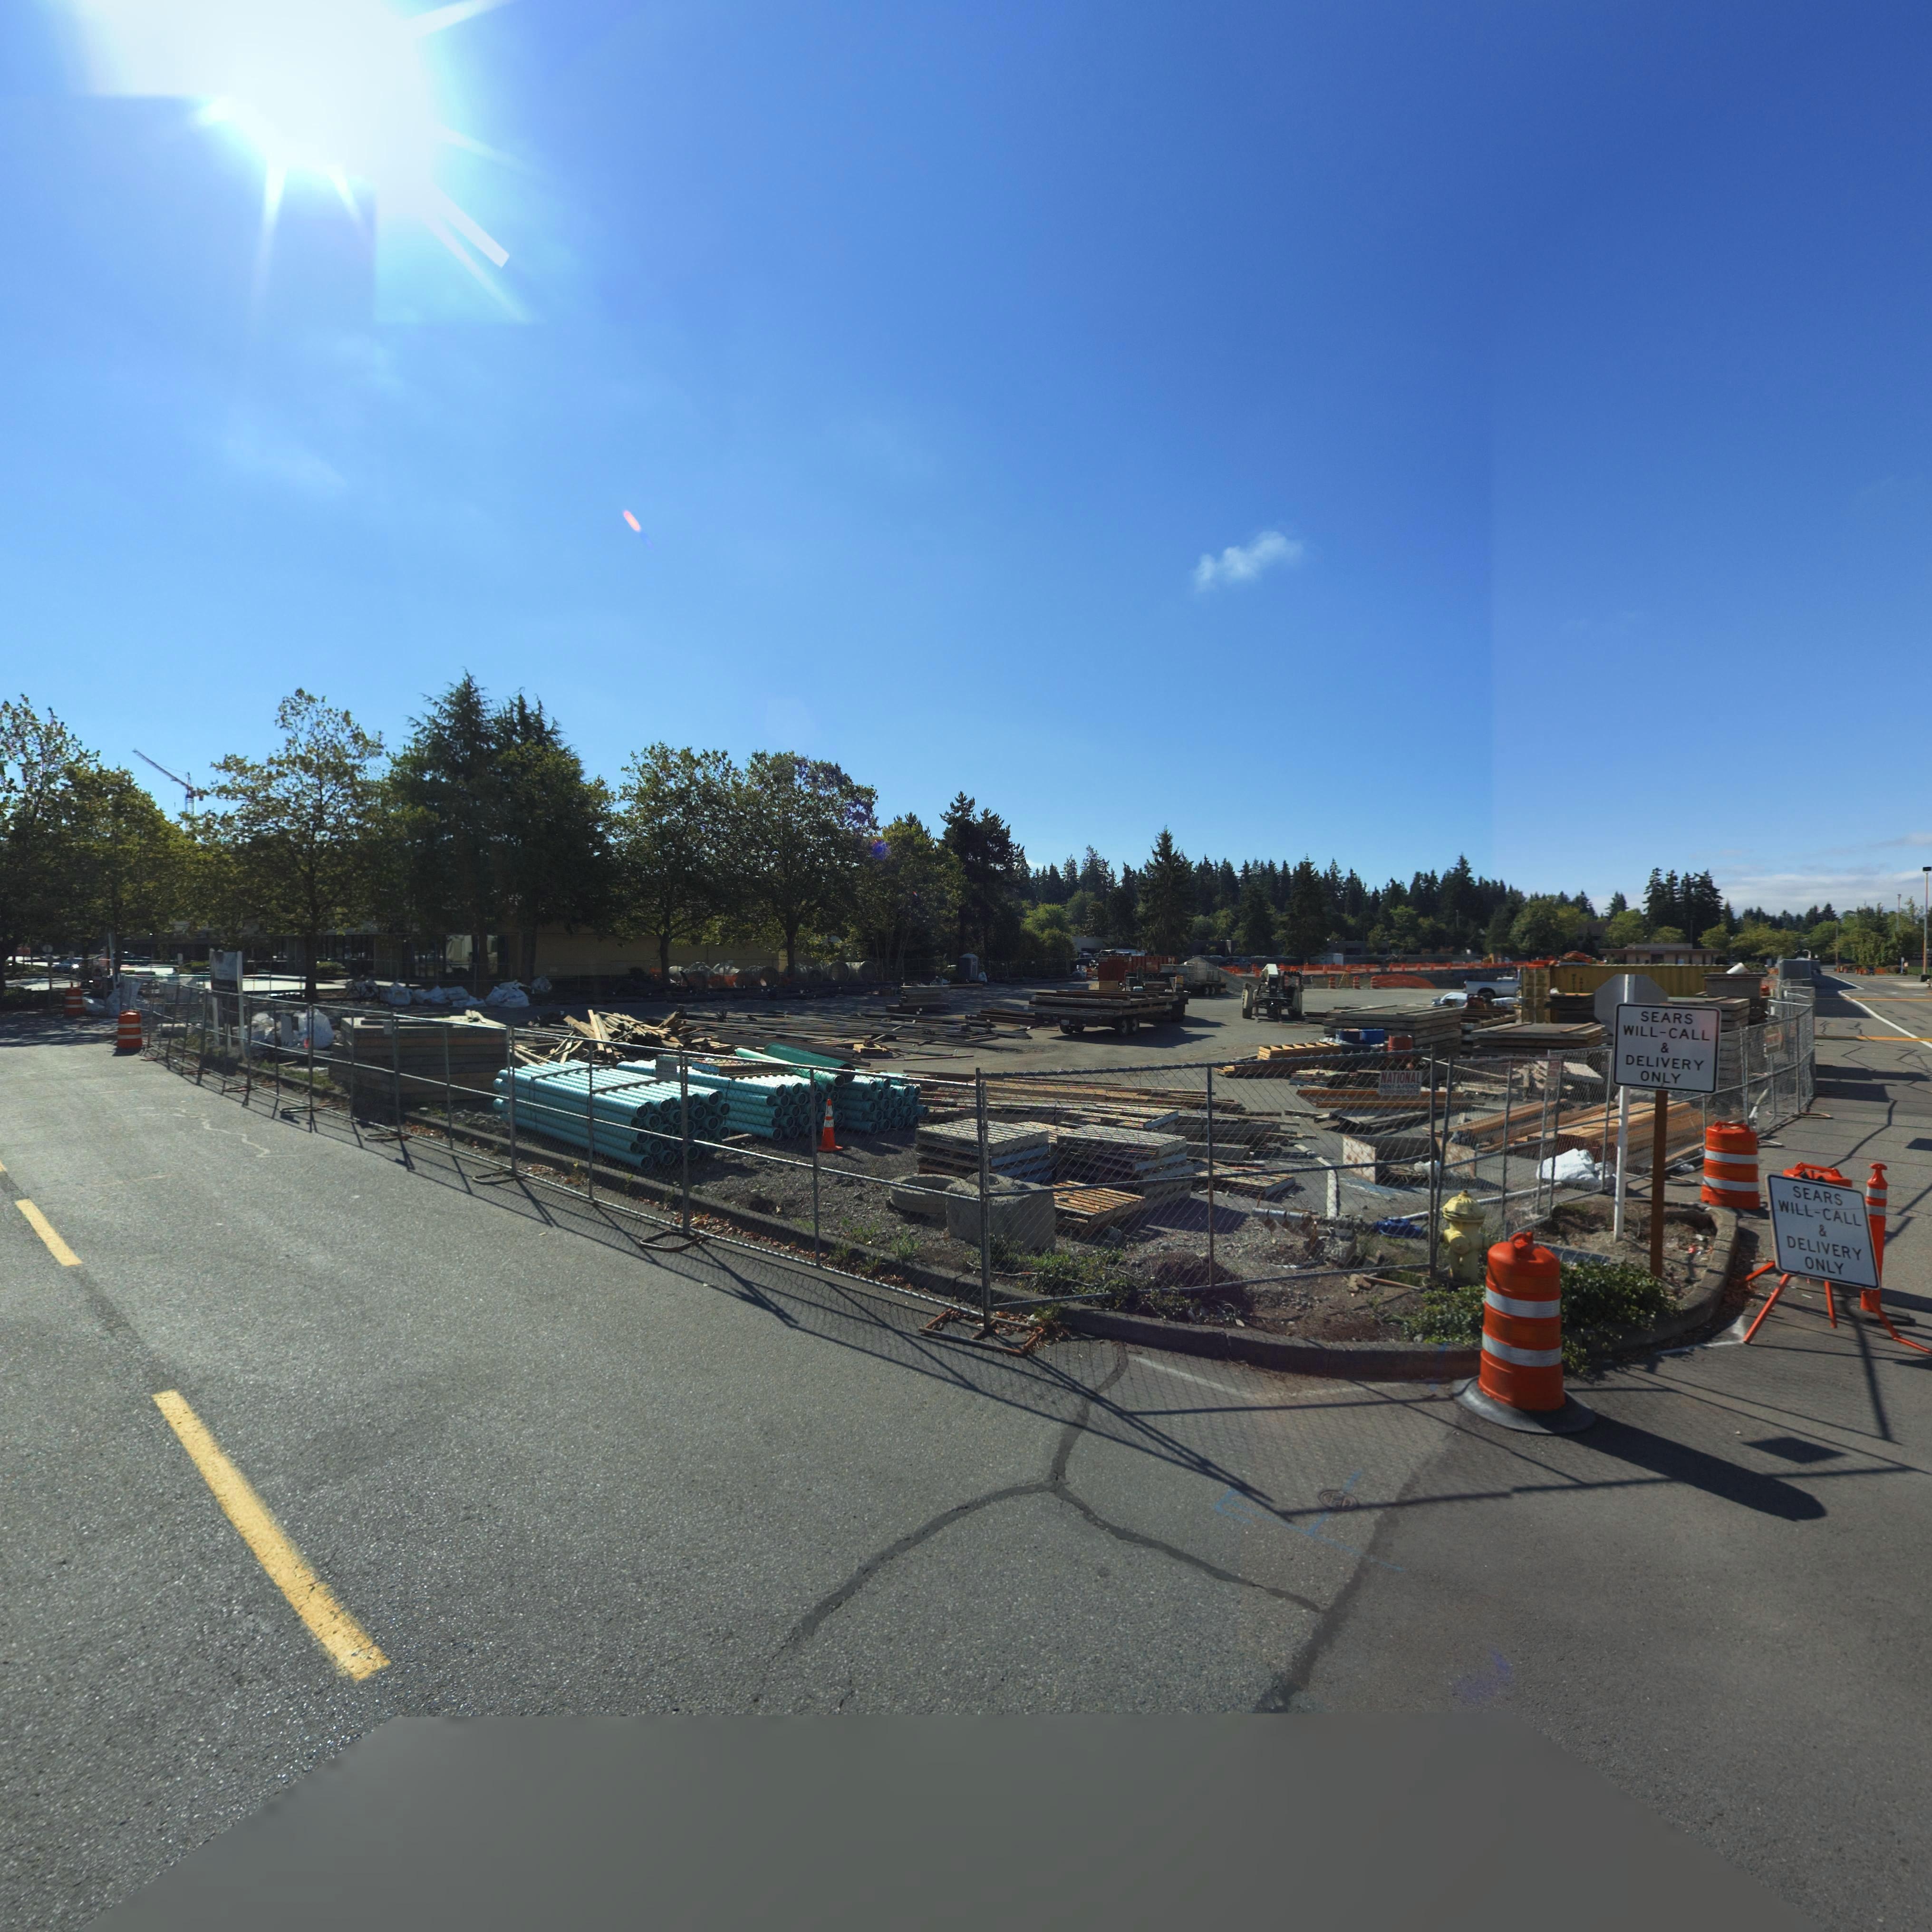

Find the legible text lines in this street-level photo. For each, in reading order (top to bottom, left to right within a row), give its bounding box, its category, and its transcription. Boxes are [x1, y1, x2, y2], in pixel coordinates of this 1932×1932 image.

[1380, 1071, 1420, 1082] BusinessName: NATIONAL
[1380, 1083, 1420, 1089] BusinessName: RENT-A-FENCE